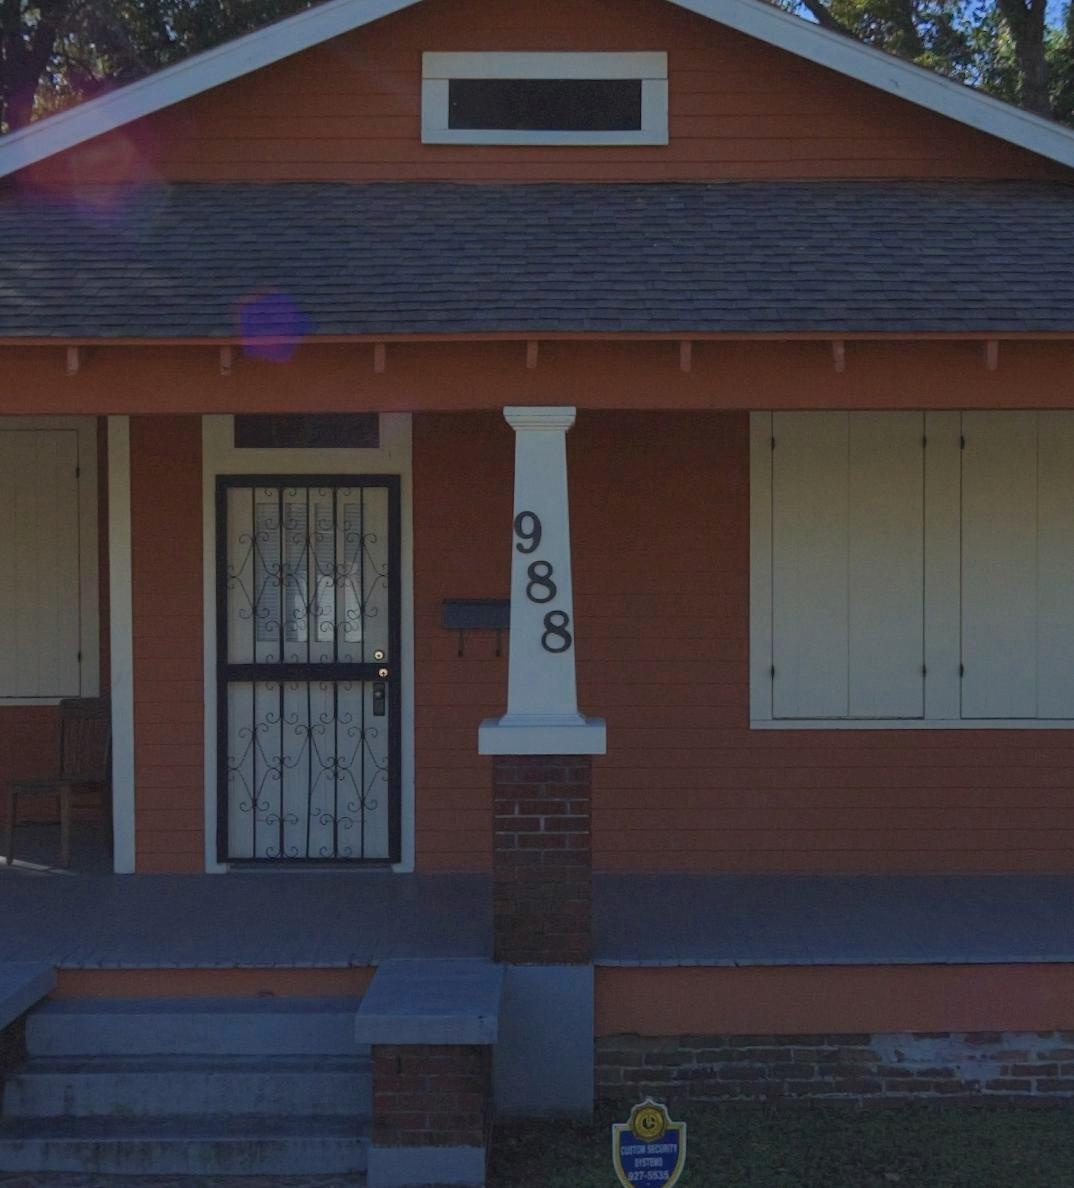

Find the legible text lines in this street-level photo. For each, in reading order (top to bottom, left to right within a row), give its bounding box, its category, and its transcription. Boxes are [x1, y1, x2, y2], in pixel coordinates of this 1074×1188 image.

[509, 506, 580, 660] StreetNumber: 988
[619, 1142, 675, 1158] None: CUSTOM SEC*RIT
[633, 1155, 665, 1169] None: S*STEMS
[625, 1168, 672, 1183] None: 827-5535